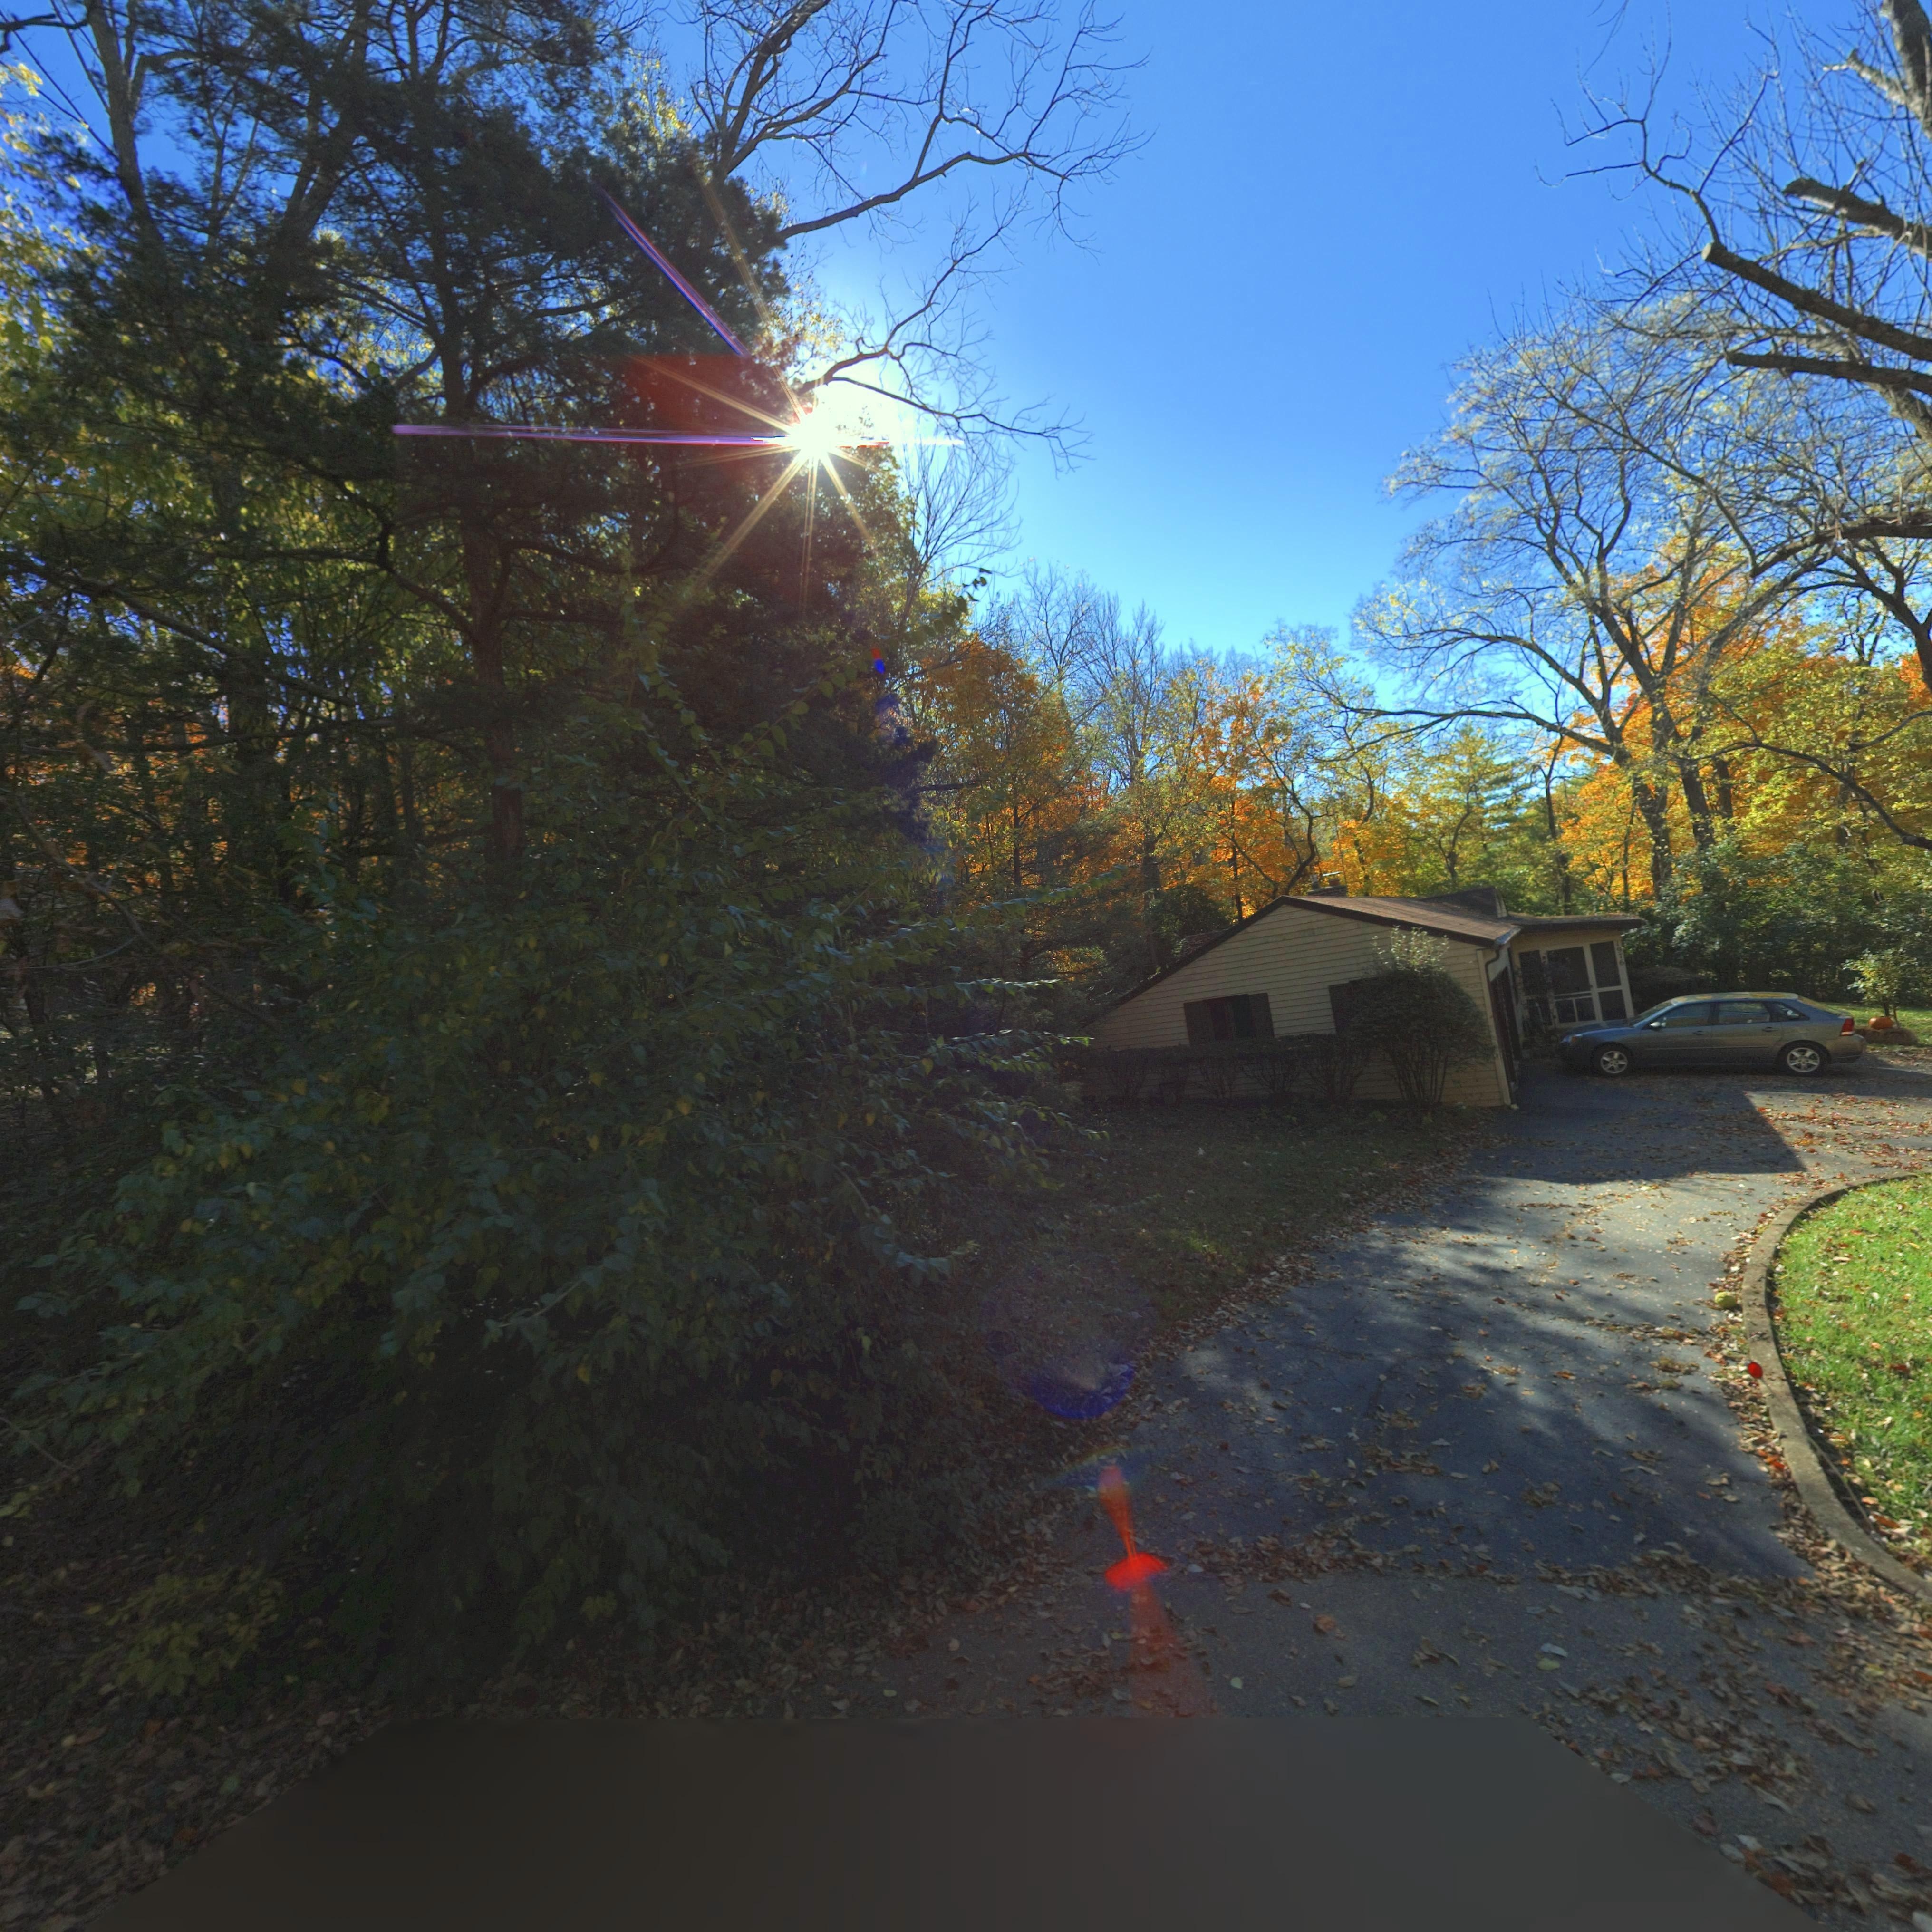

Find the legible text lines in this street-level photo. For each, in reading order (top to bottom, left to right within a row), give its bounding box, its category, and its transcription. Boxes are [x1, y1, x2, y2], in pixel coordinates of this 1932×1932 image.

[1615, 938, 1625, 967] StreetNumber: 1976